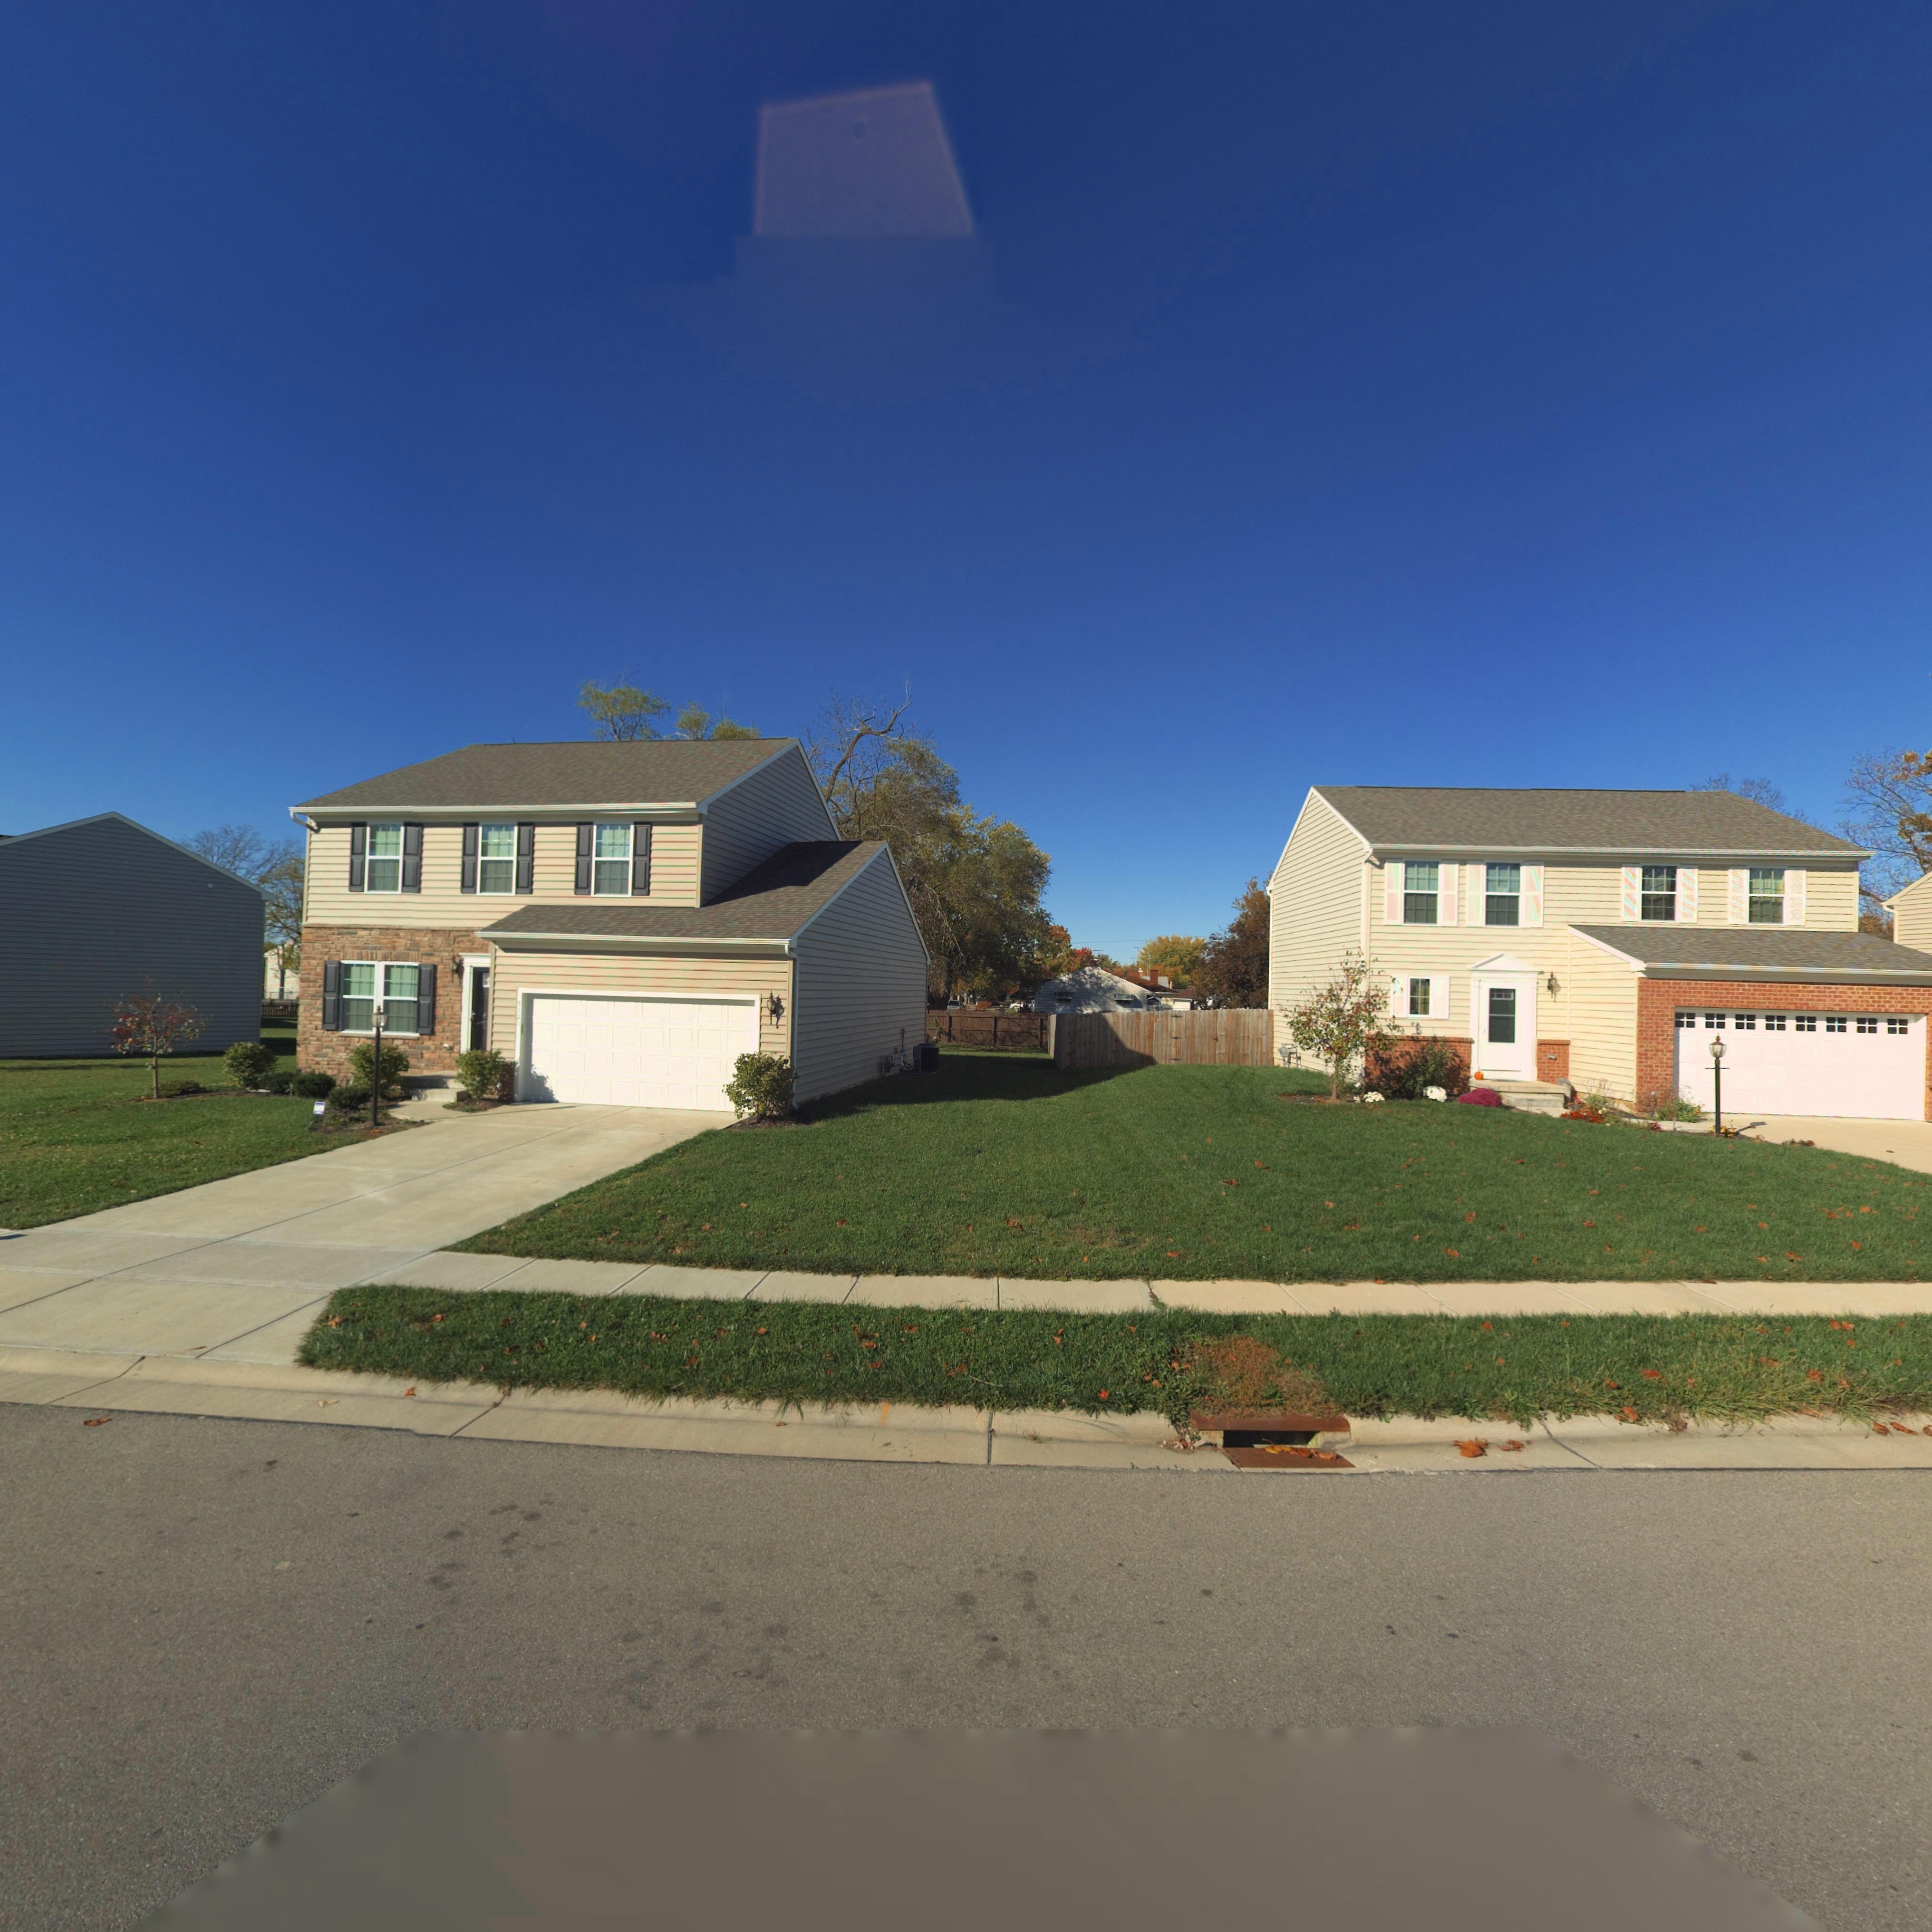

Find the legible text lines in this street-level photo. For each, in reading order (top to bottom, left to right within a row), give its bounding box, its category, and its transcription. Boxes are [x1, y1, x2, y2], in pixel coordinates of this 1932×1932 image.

[516, 1000, 522, 1027] StreetNumber: 5121